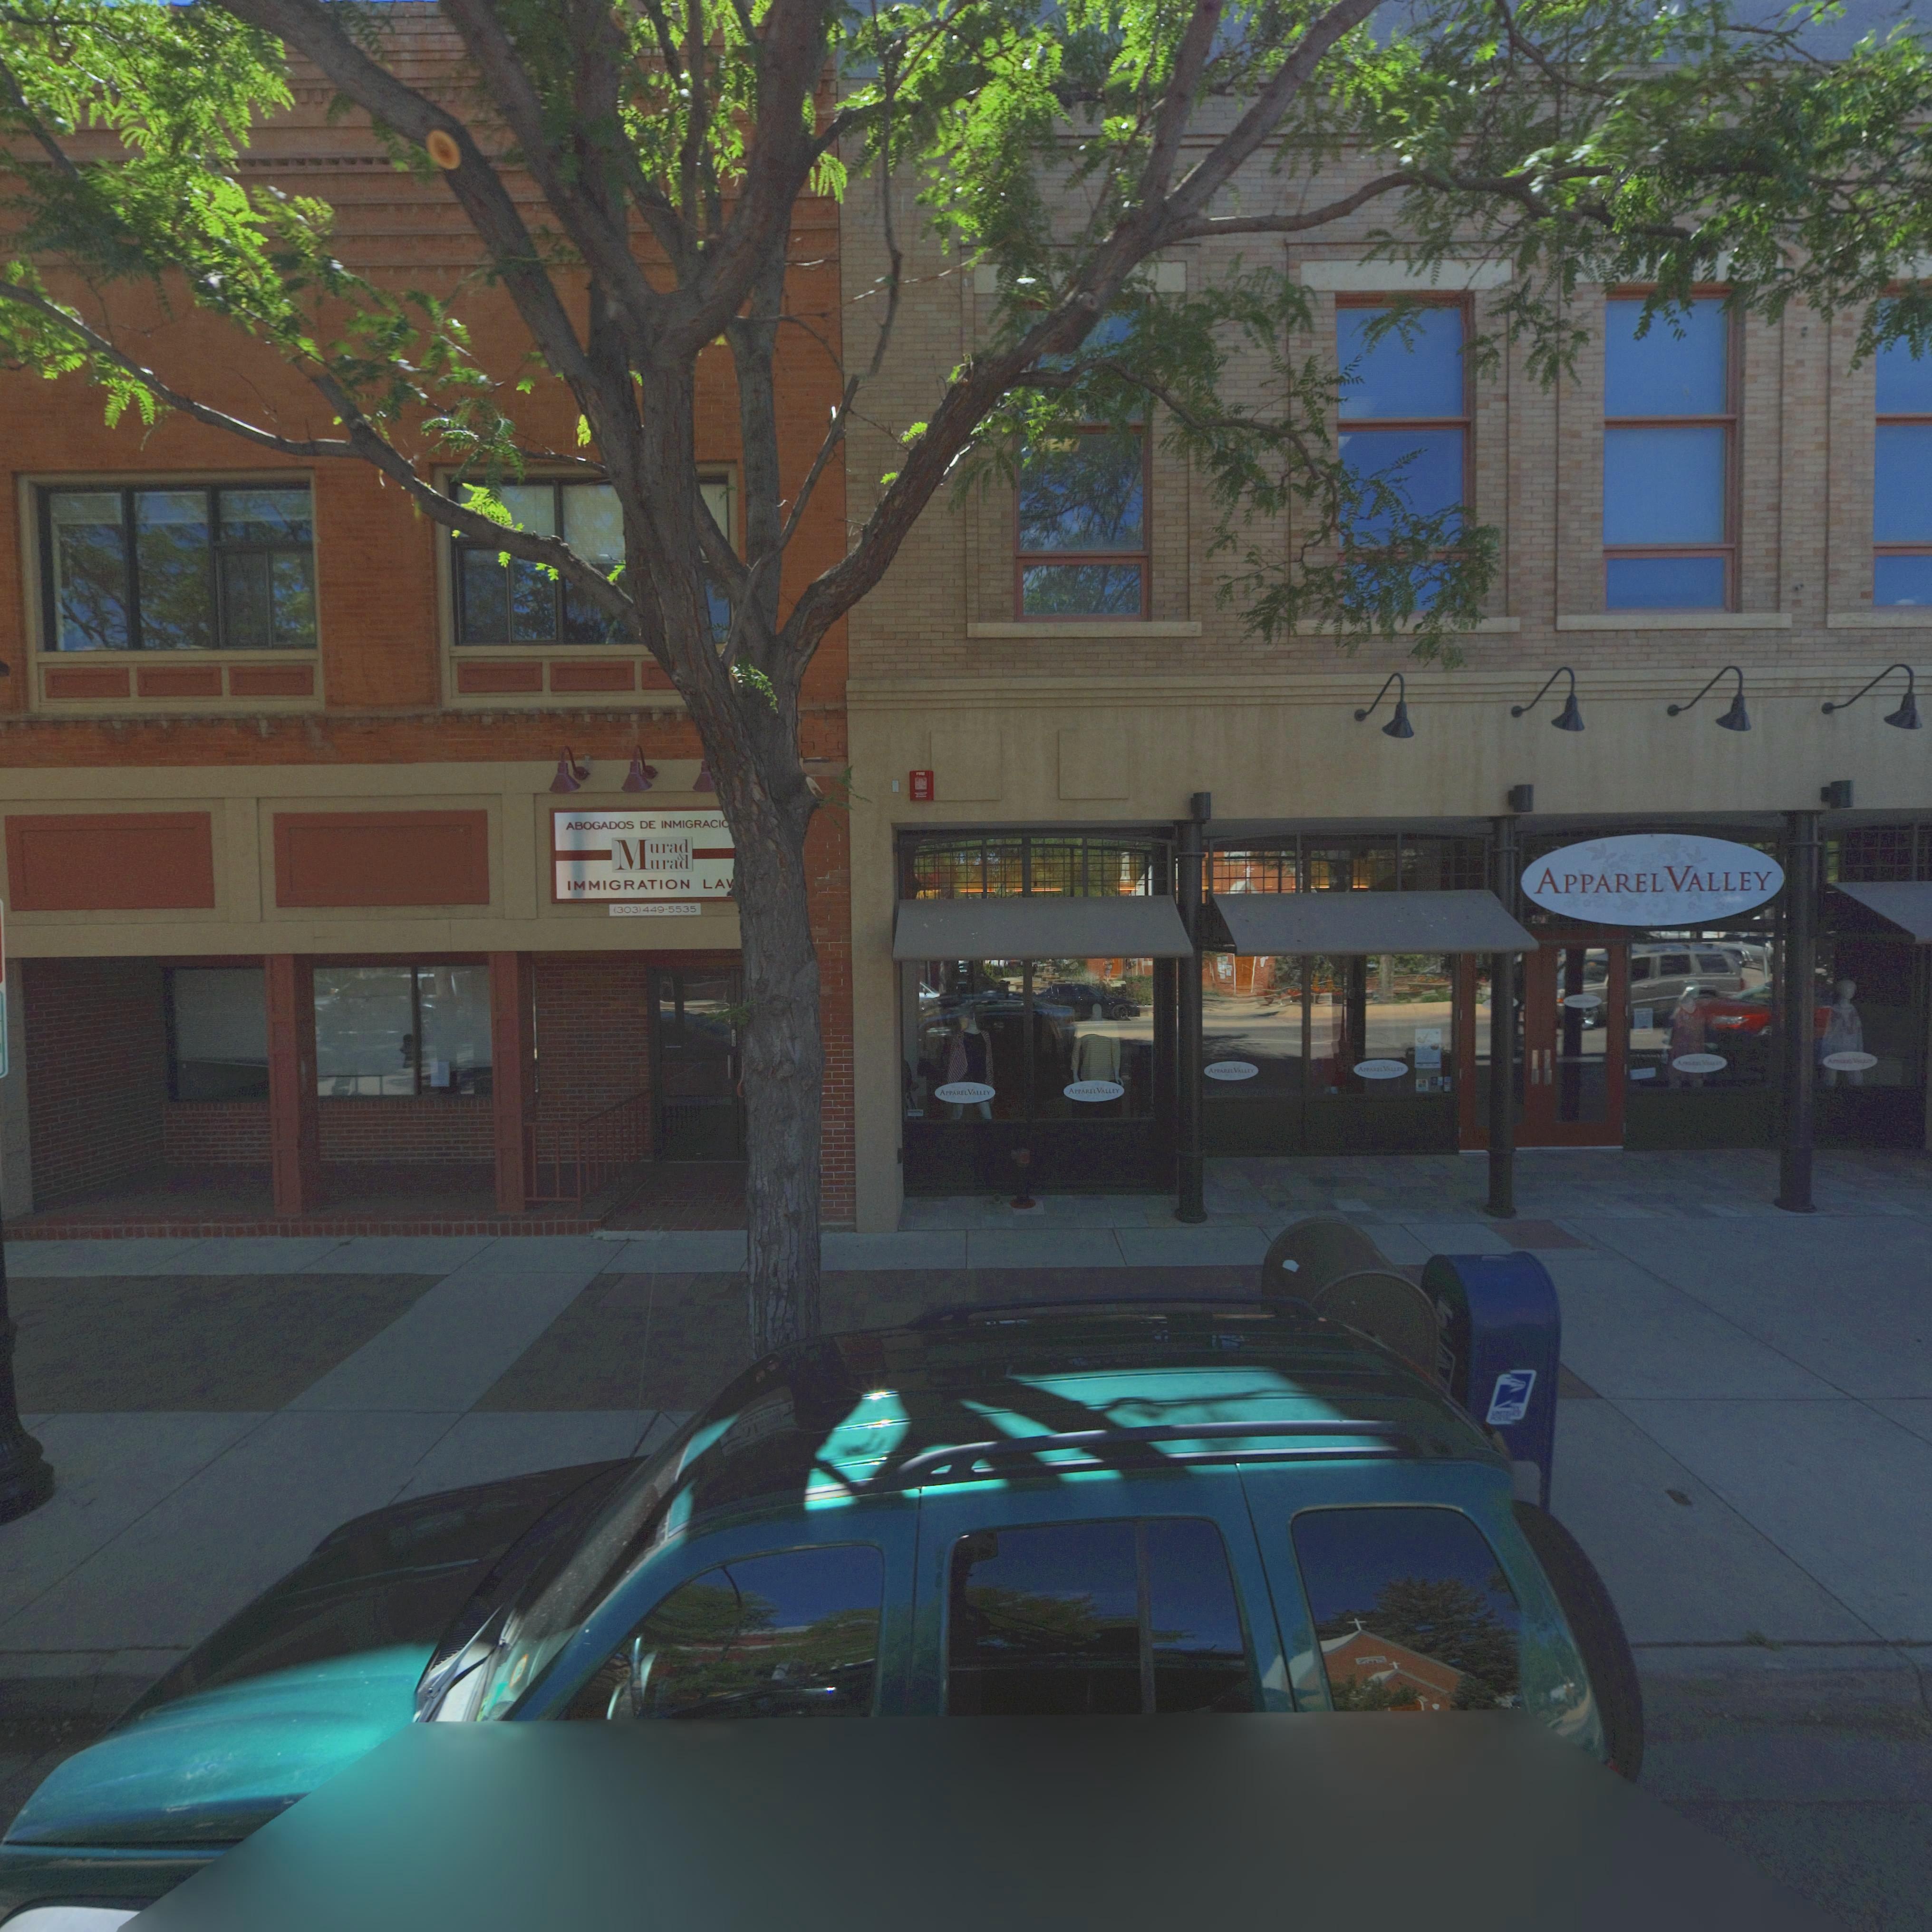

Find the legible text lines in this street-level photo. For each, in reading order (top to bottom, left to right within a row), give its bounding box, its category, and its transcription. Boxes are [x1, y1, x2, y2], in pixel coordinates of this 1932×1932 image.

[565, 819, 728, 830] BusinessName: ABOGADOS DE INMIGRACI*
[650, 838, 689, 853] BusinessName: urad
[614, 839, 651, 870] BusinessName: M
[649, 853, 689, 870] BusinessName: urad
[567, 878, 734, 890] BusinessName: IMMIGRATION LA*
[1533, 864, 1773, 896] BusinessName: APPAREL VALLEY
[1676, 1060, 1722, 1066] BusinessName: A****** V*****
[1827, 1058, 1873, 1064] BusinessName: APP**** V*LL*Y
[1208, 1067, 1254, 1073] BusinessName: APPAREL VALLEY
[1357, 1065, 1403, 1072] BusinessName: APPAREL VALLEY
[939, 1089, 990, 1095] BusinessName: APPAREL VALLEY
[1068, 1087, 1120, 1094] BusinessName: APPAREL VALLEY